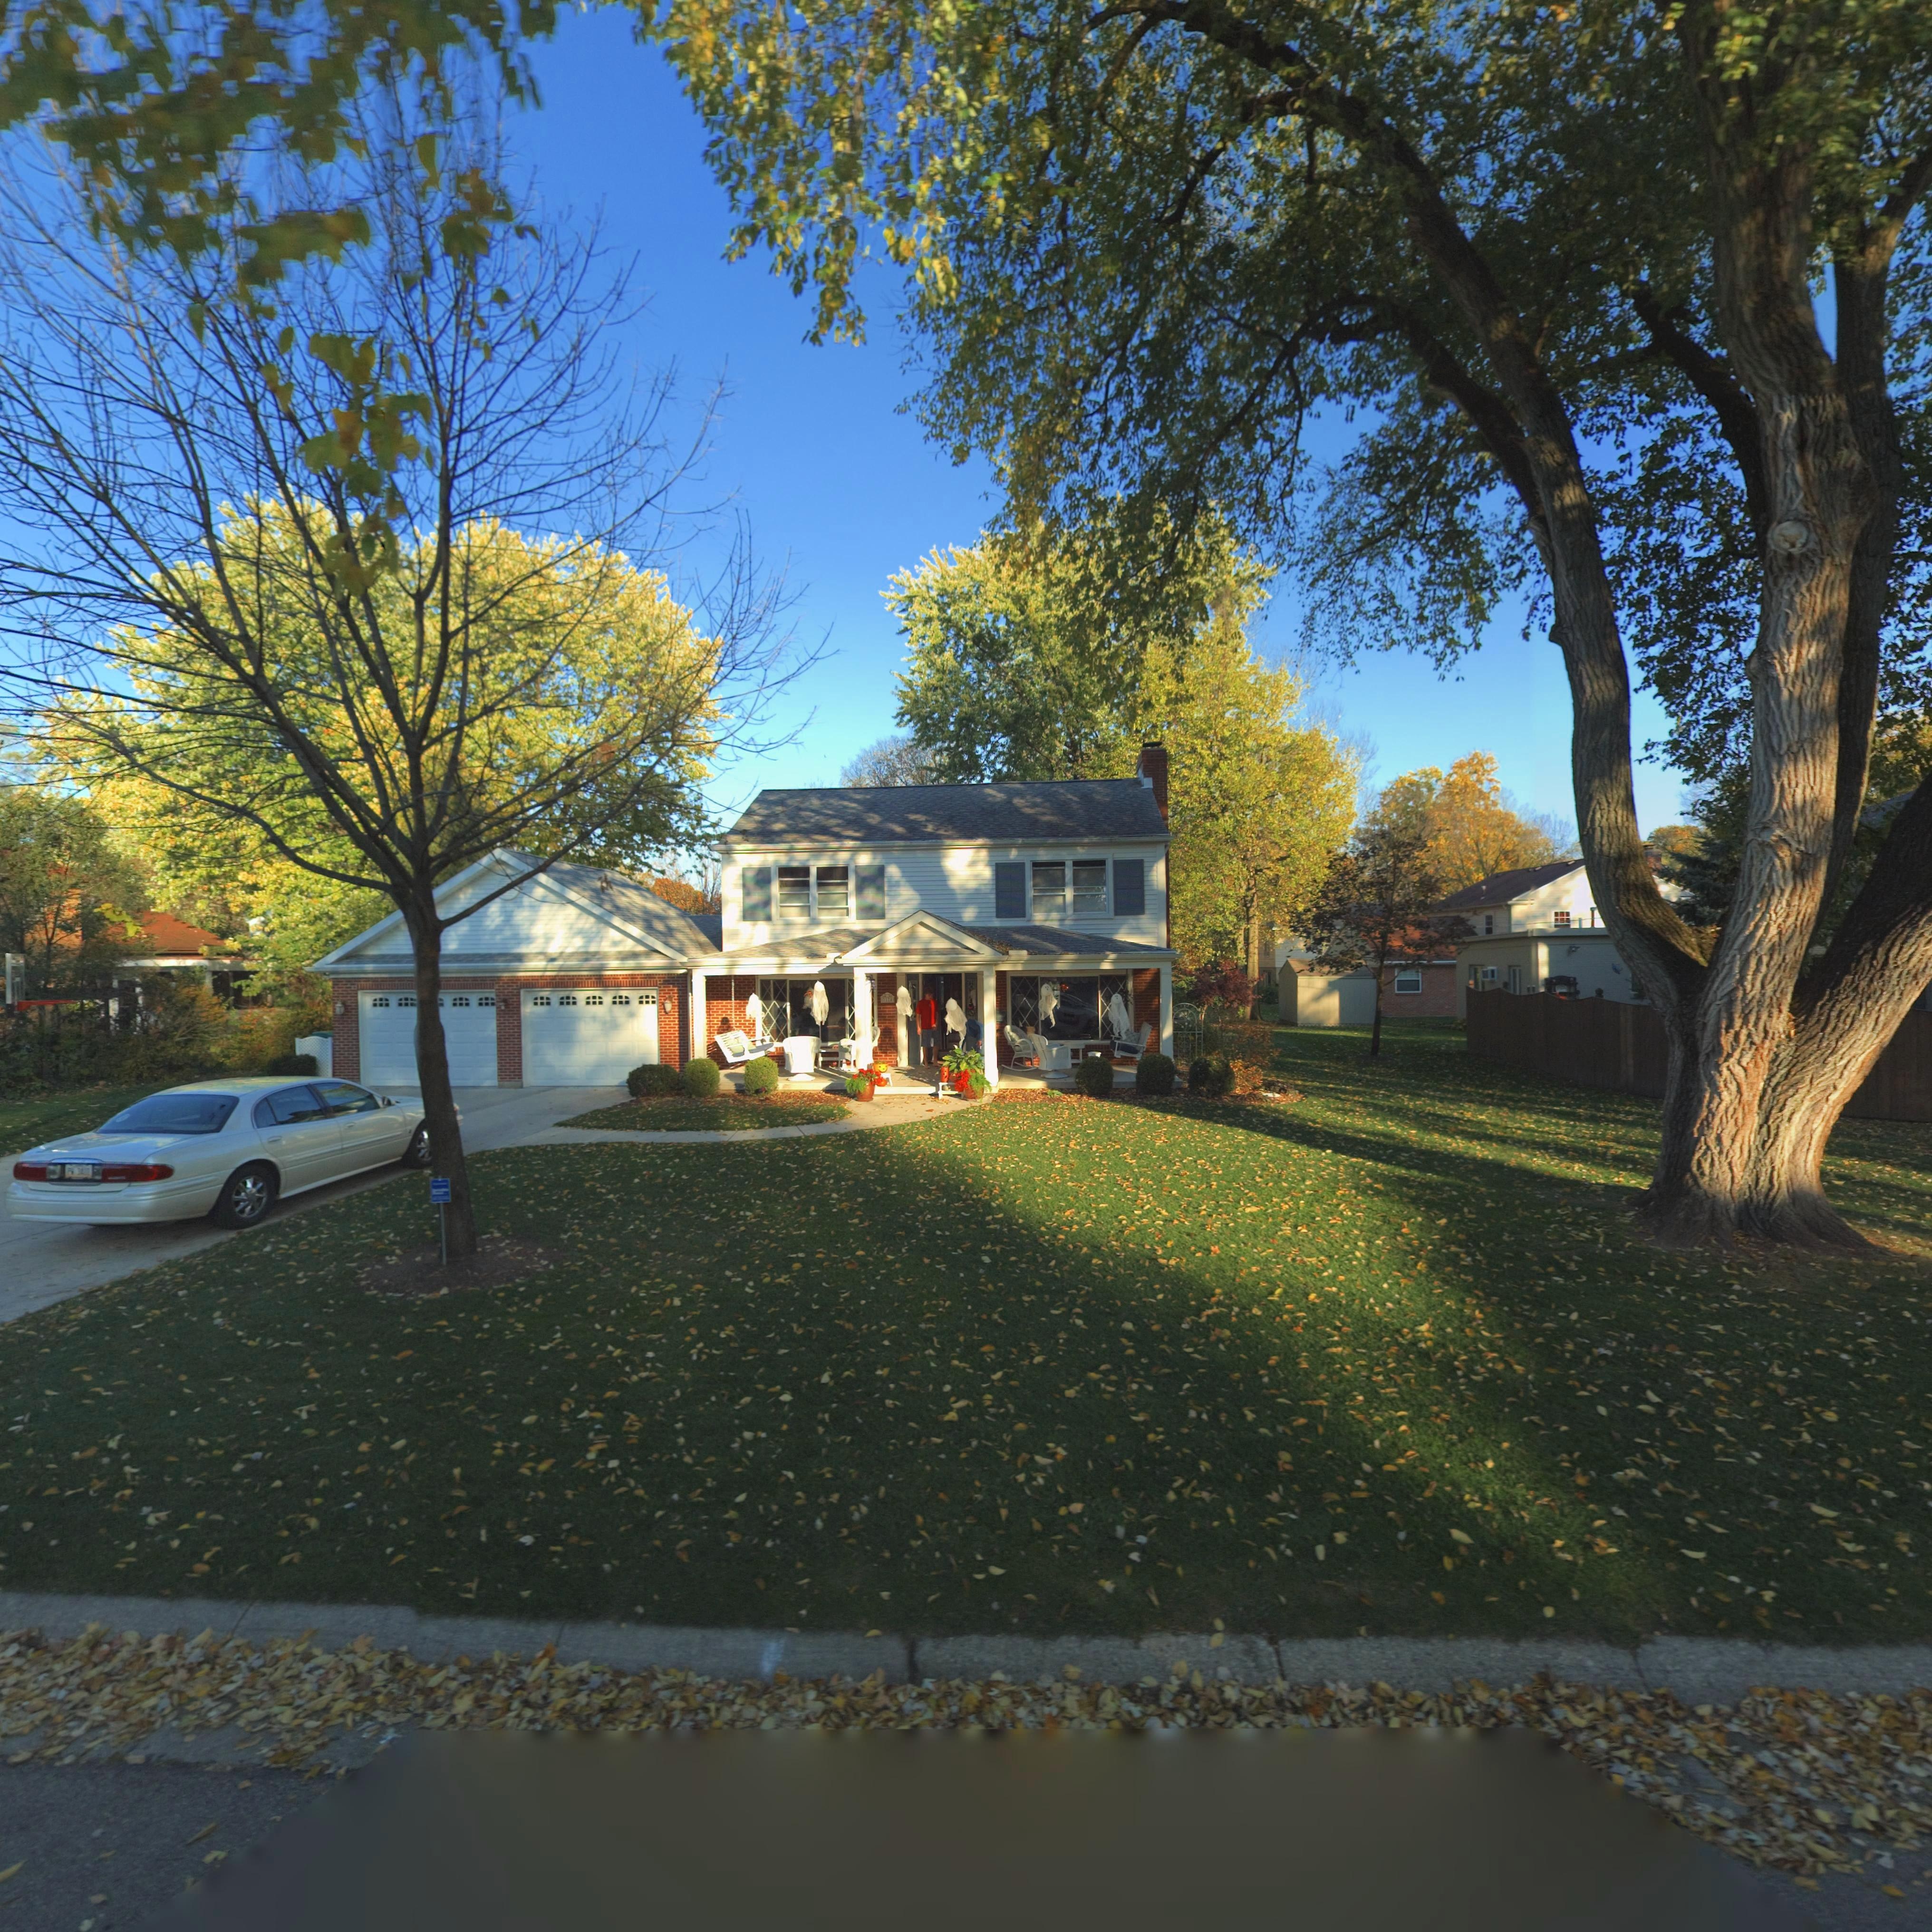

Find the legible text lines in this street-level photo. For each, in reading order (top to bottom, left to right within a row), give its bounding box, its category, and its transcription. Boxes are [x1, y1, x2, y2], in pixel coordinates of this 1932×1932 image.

[882, 997, 891, 1001] StreetNumber: *1**